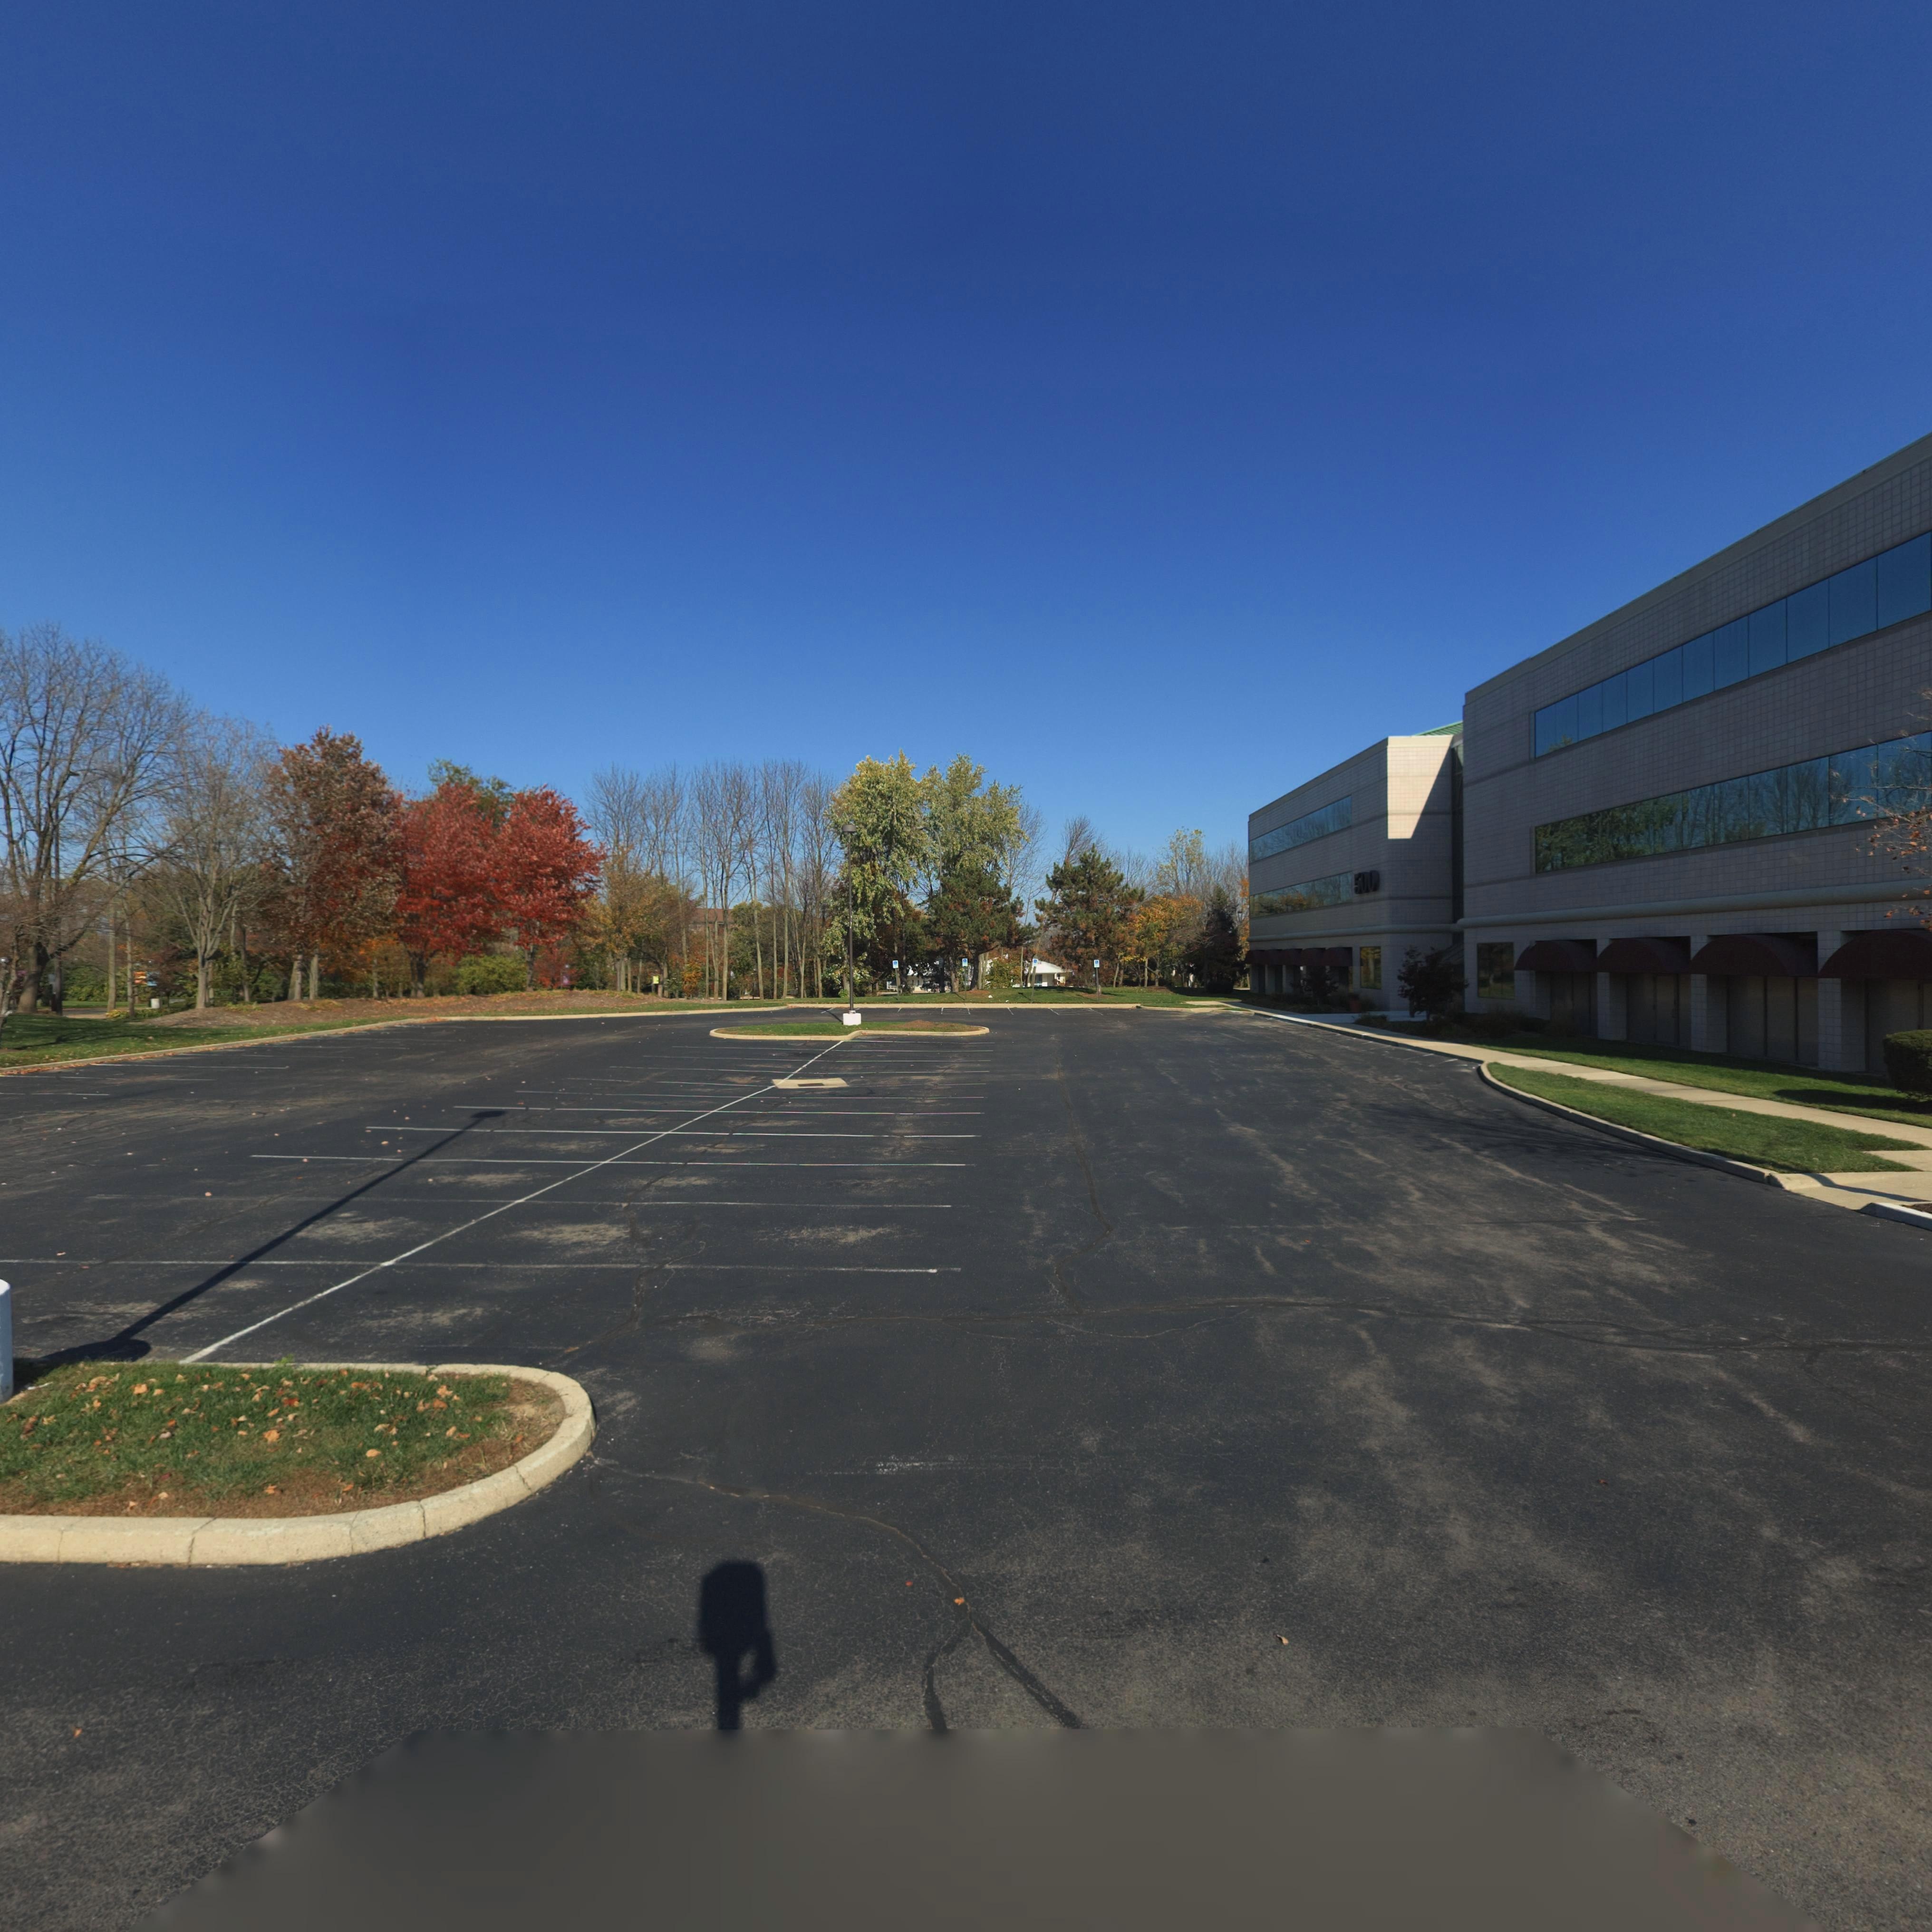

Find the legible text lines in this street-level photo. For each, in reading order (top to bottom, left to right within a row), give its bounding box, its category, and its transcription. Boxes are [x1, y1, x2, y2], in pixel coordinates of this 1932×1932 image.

[1353, 869, 1381, 895] StreetNumber: 500